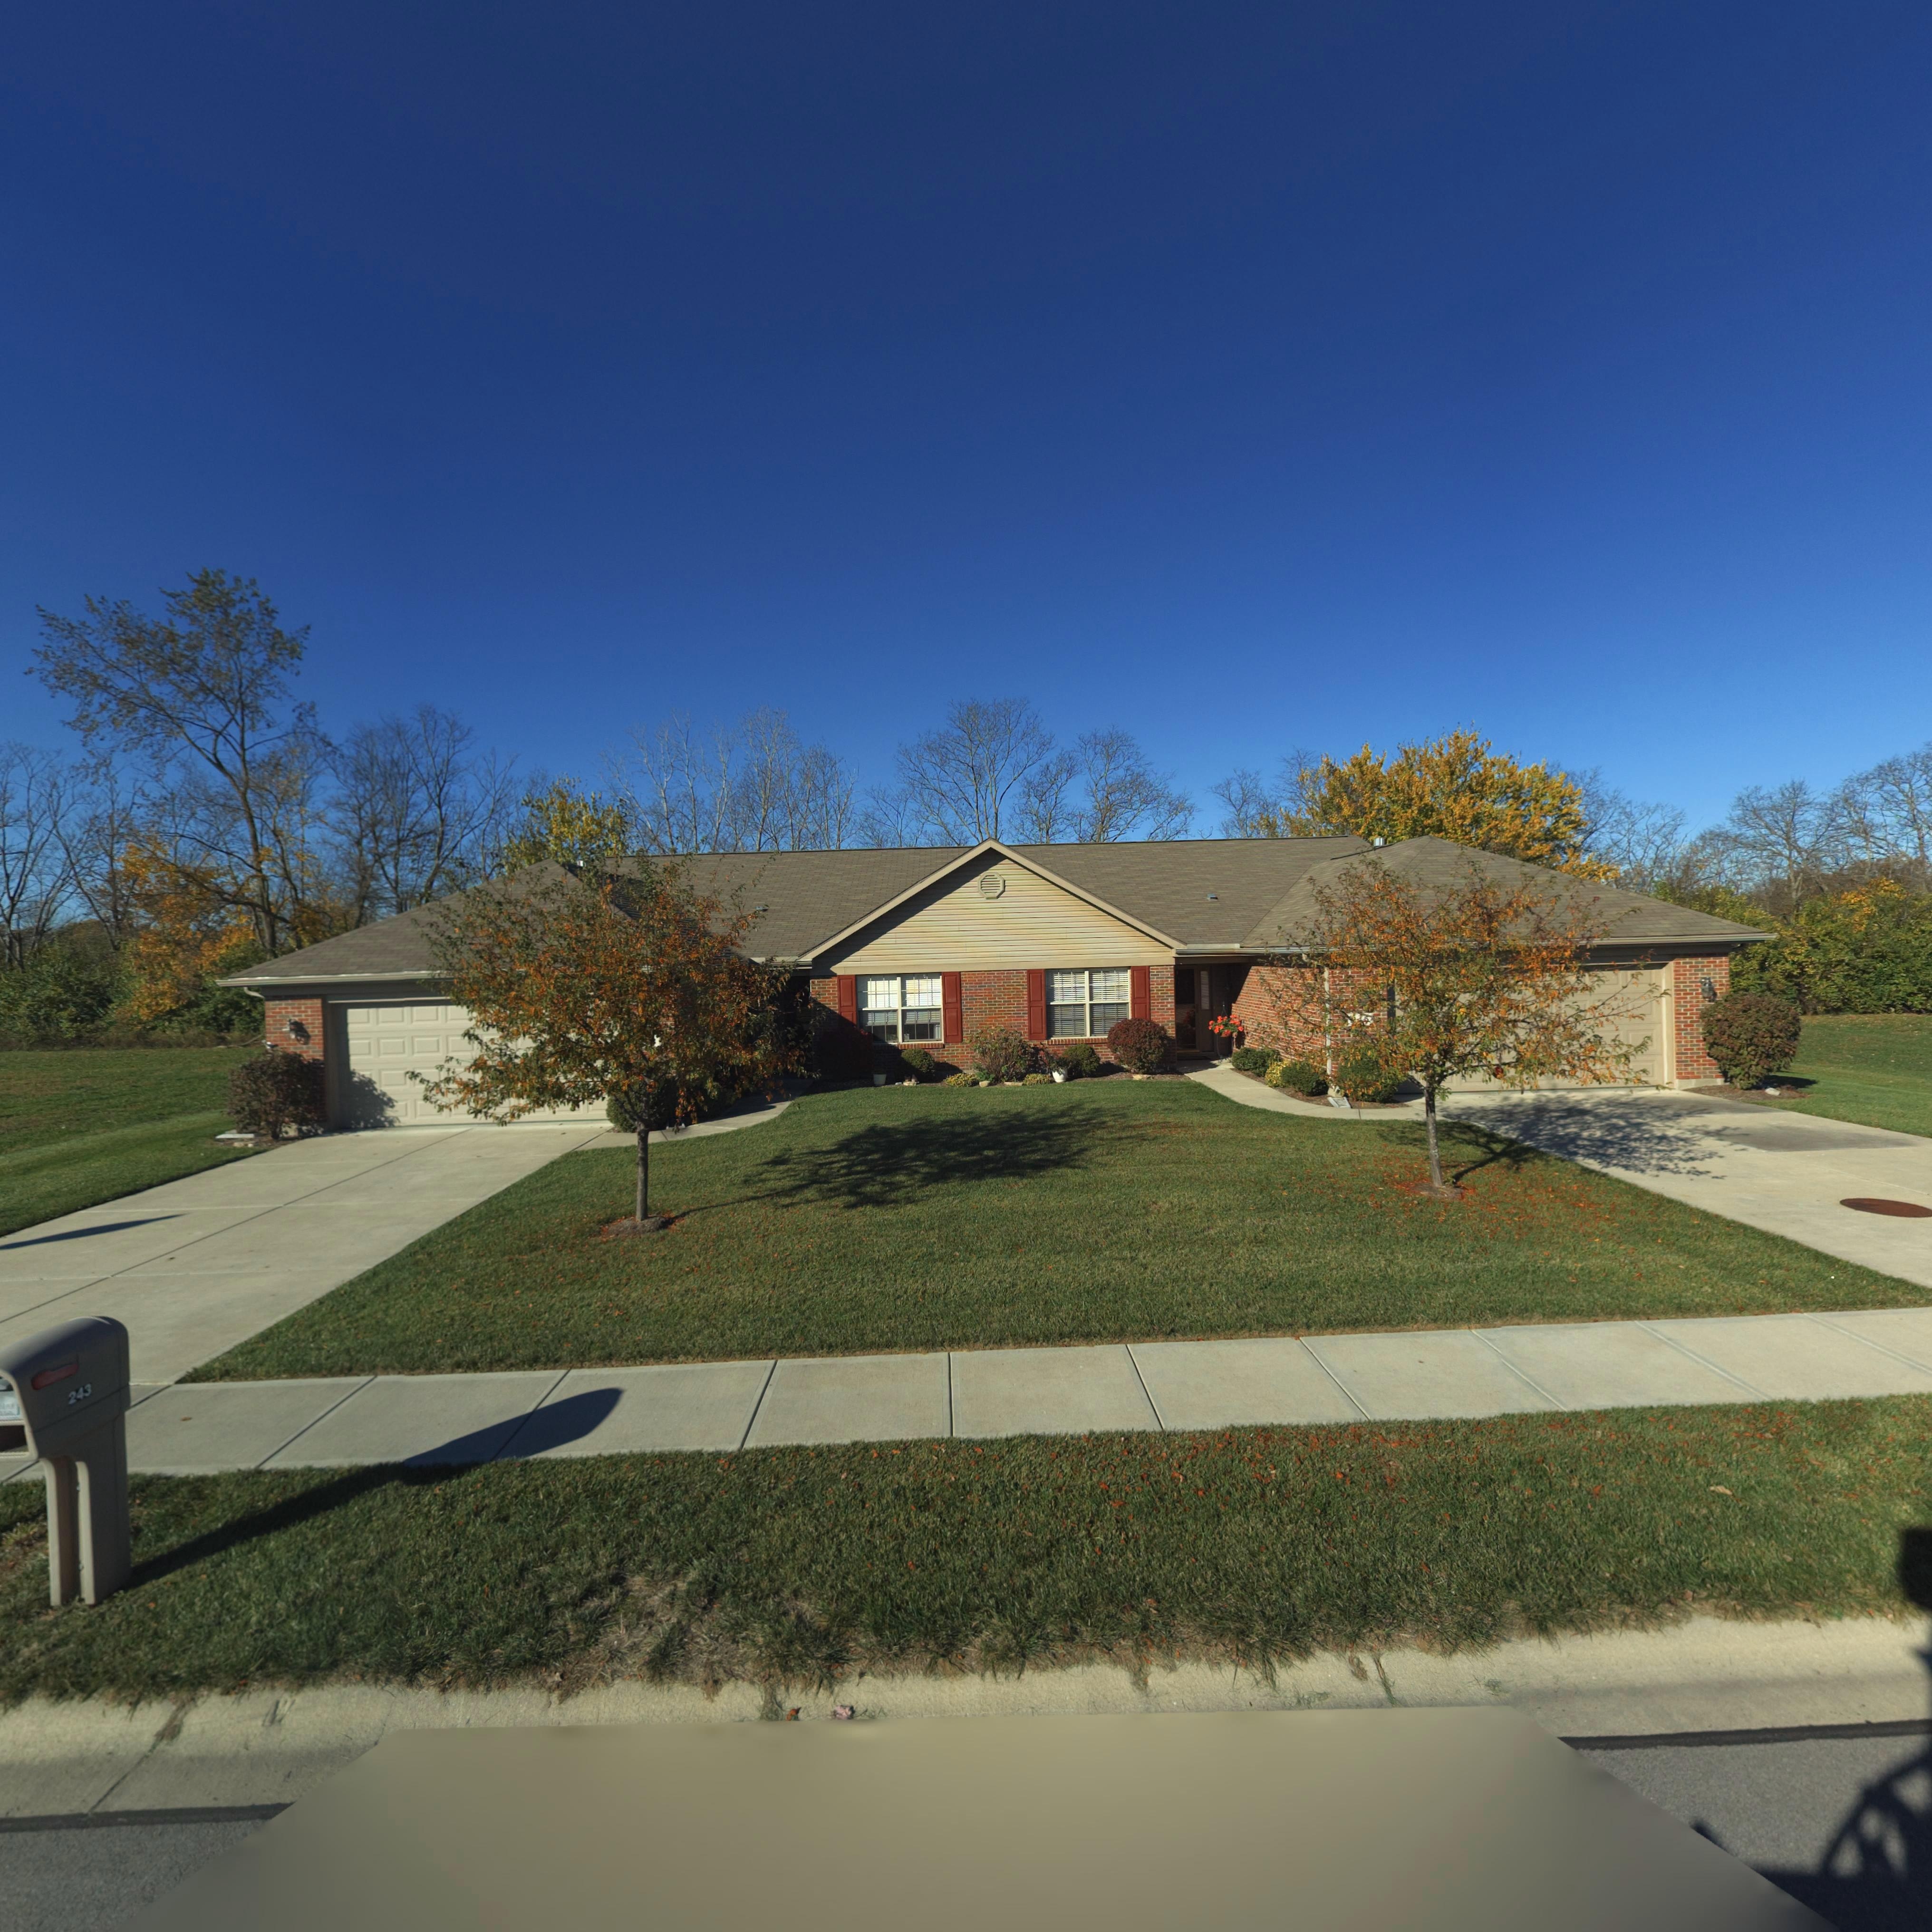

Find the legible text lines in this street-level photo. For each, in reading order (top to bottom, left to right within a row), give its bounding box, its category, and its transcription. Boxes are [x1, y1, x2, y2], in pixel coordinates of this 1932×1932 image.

[68, 1382, 92, 1406] StreetNumber: 243